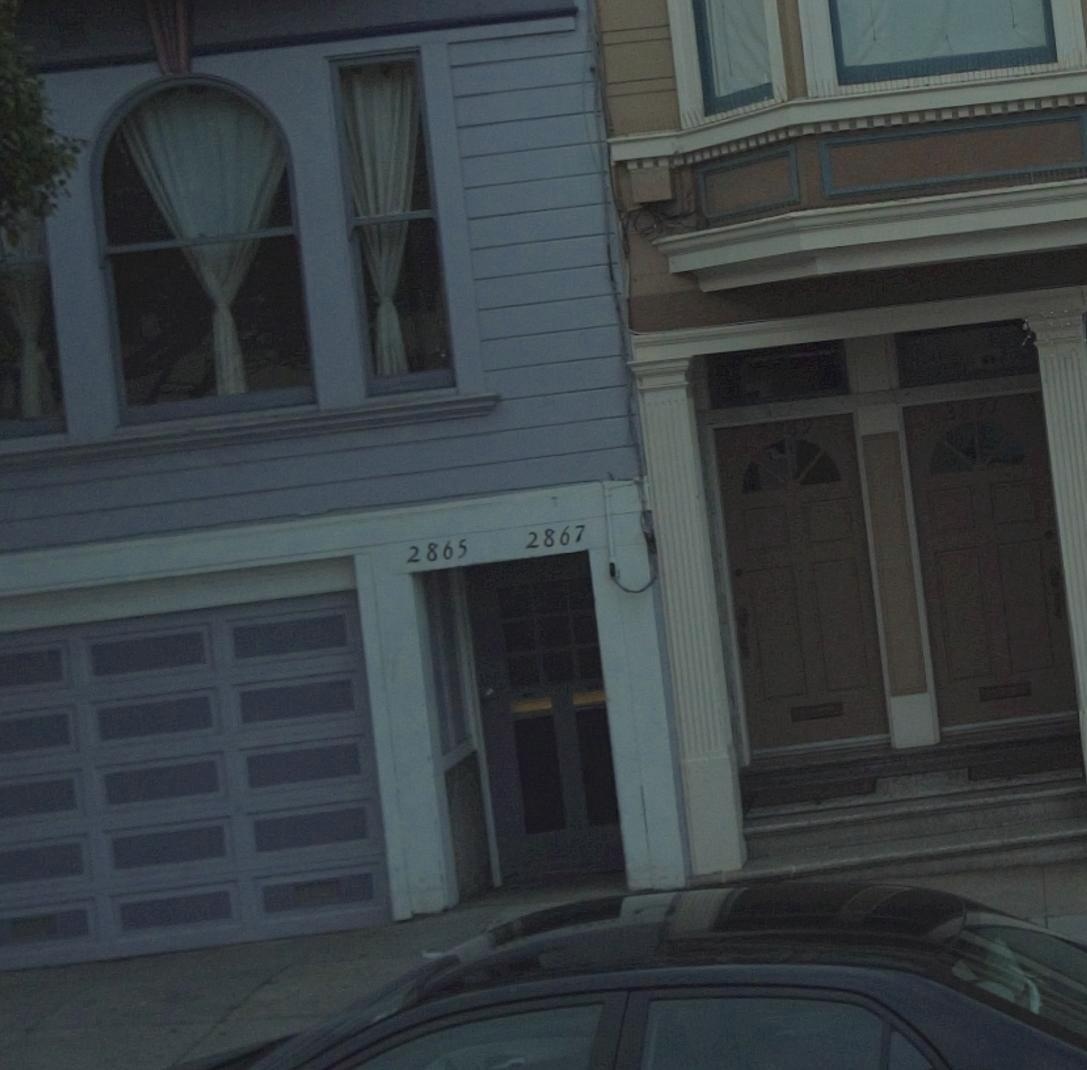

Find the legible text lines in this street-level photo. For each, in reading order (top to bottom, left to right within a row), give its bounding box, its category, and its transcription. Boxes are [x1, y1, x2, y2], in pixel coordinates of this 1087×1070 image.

[403, 535, 471, 566] StreetNumber: 2865
[520, 522, 589, 552] StreetNumber: 2867